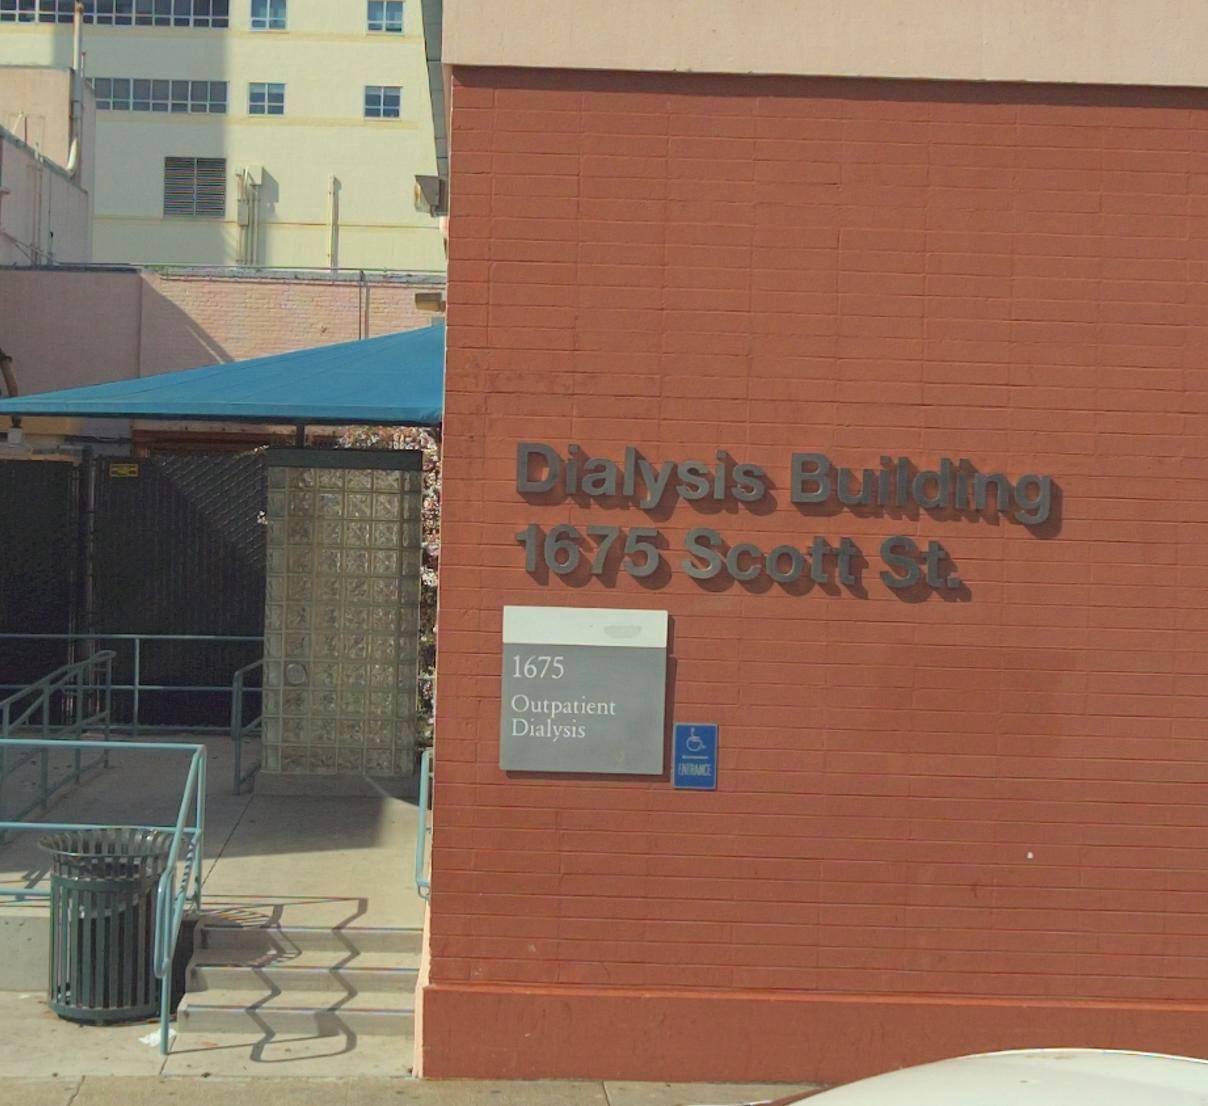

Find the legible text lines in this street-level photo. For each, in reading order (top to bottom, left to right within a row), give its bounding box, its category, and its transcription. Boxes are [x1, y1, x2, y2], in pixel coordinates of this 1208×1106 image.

[512, 436, 1055, 529] None: Dialysis Building
[513, 521, 661, 580] StreetNumber: 1675
[678, 524, 966, 592] StreetName: Scott St.
[509, 653, 567, 681] StreetNumber: 1675
[508, 690, 618, 722] None: Outpatient
[509, 715, 589, 747] None: Dialysis
[675, 760, 715, 779] None: EN*RANCE